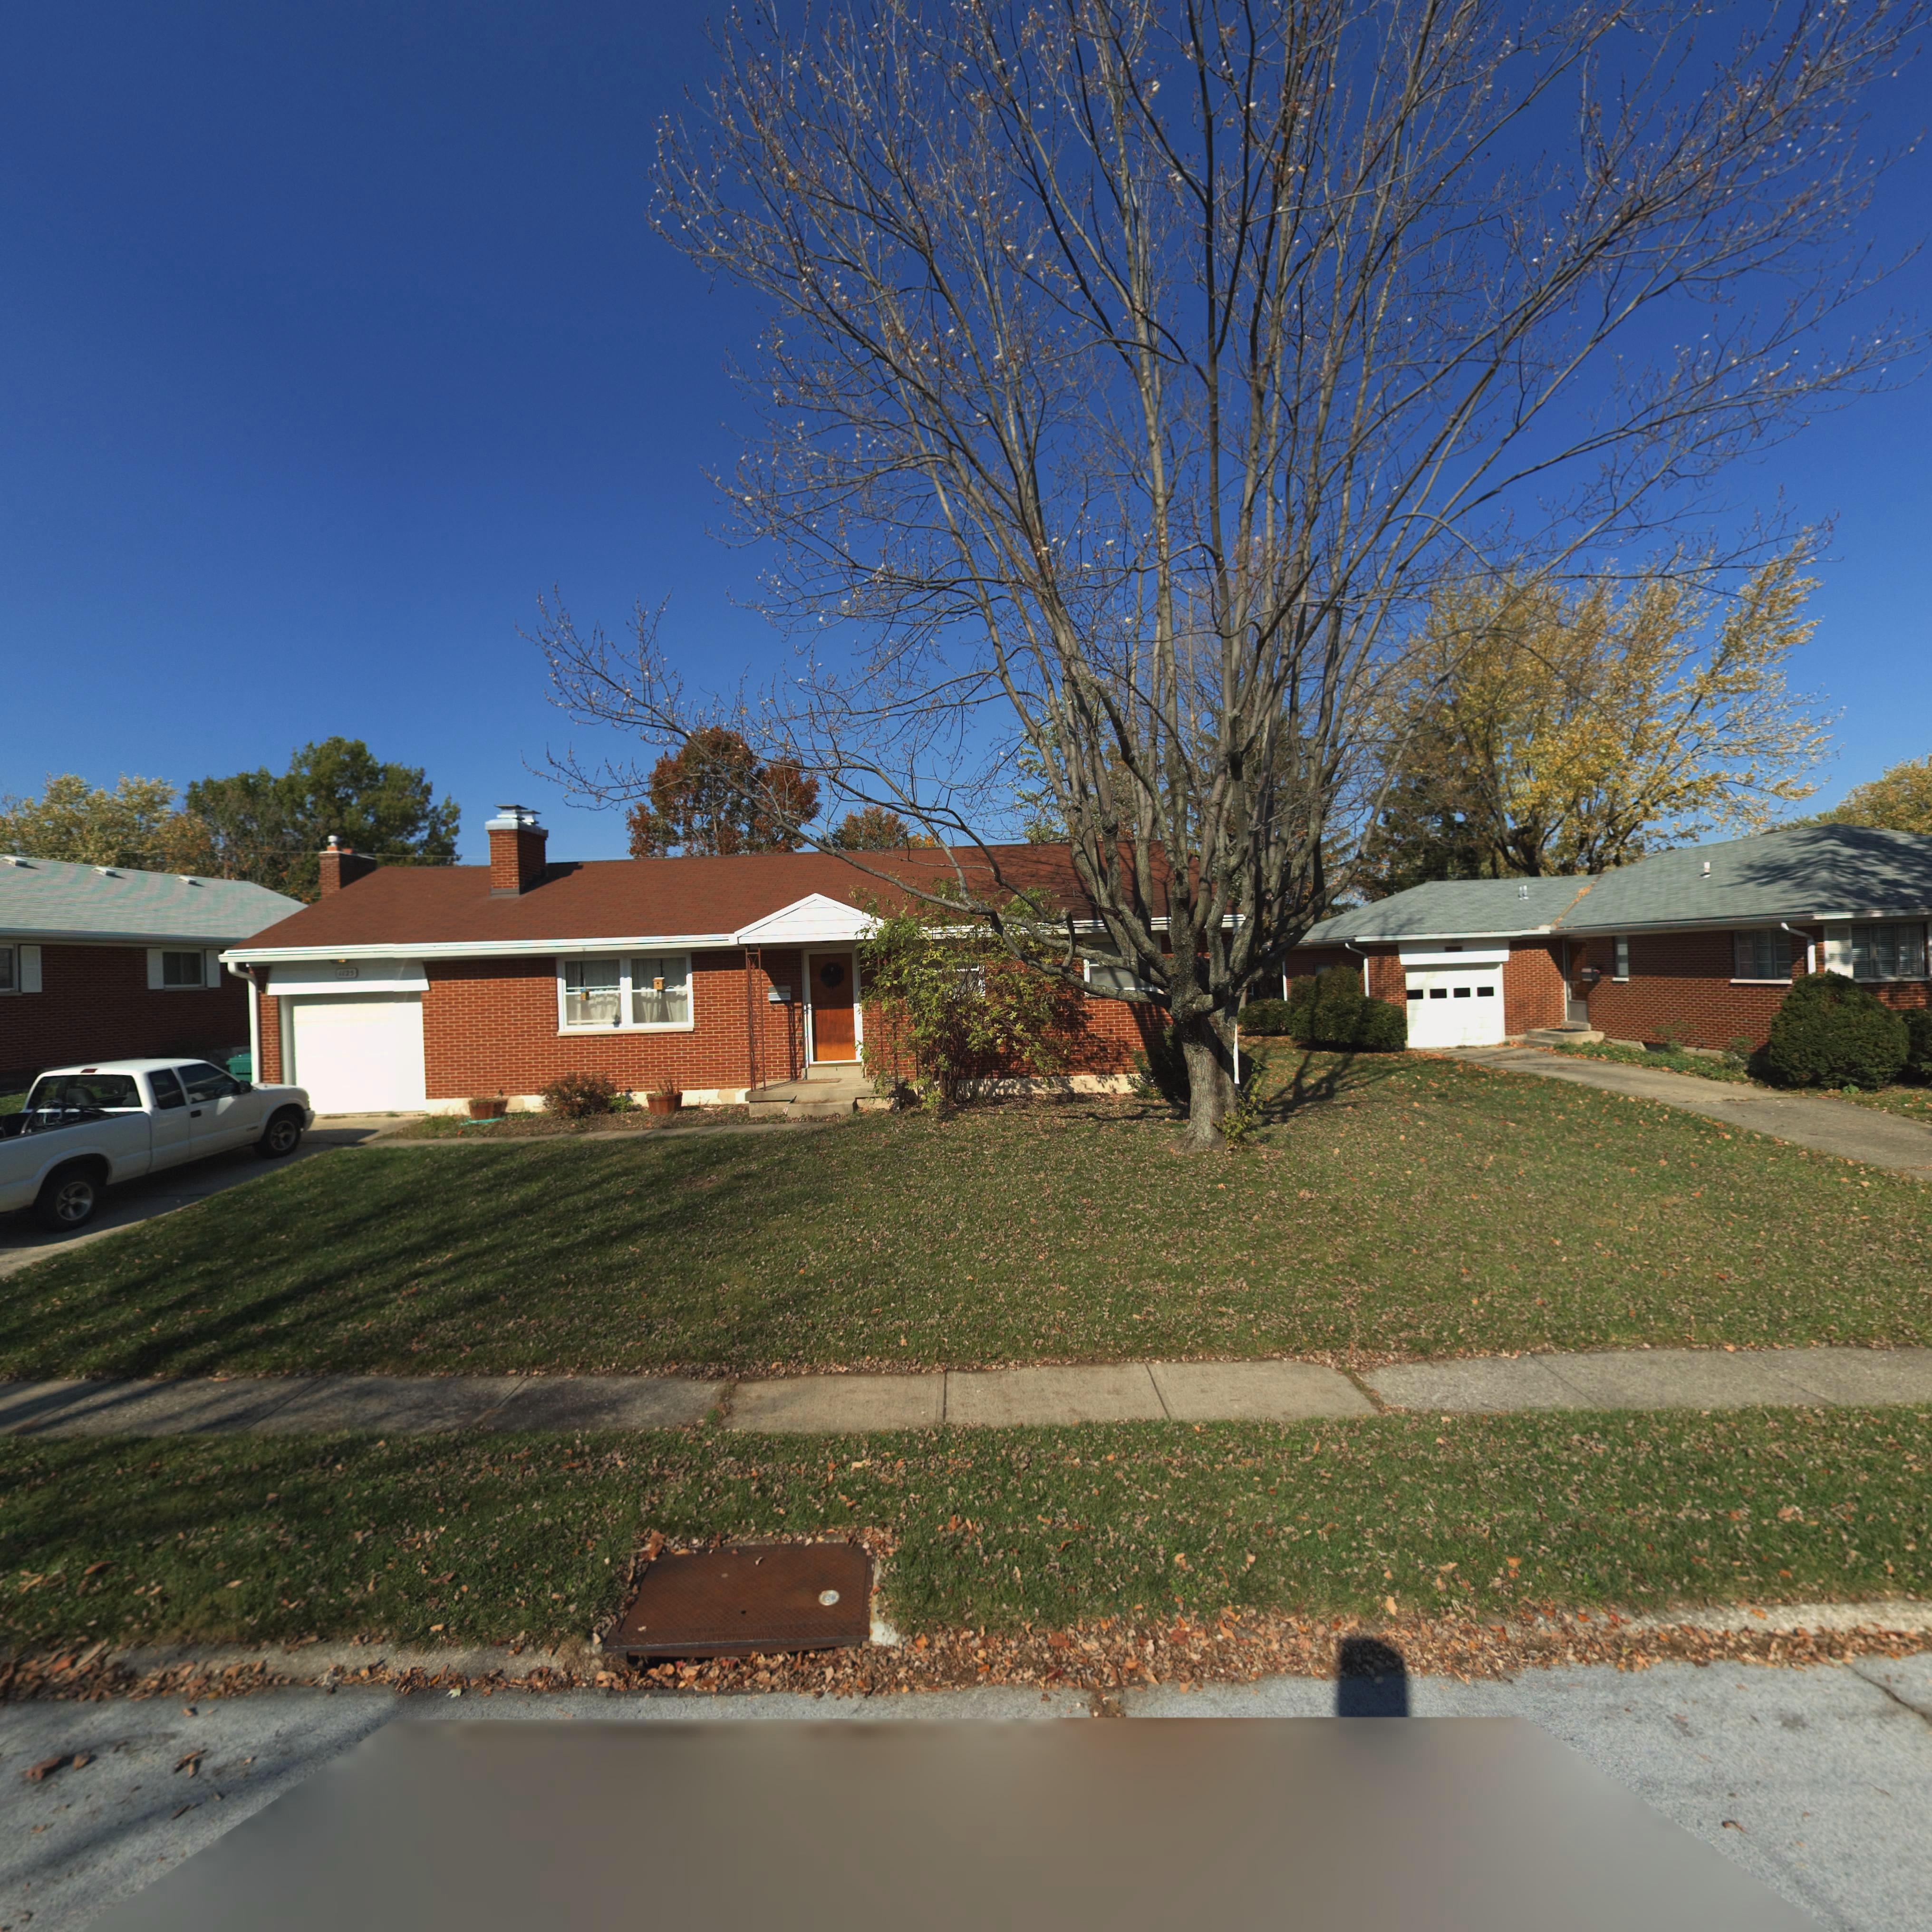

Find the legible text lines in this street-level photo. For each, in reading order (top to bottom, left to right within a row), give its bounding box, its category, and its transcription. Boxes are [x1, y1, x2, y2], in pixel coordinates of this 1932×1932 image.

[338, 969, 355, 977] StreetNumber: 1125